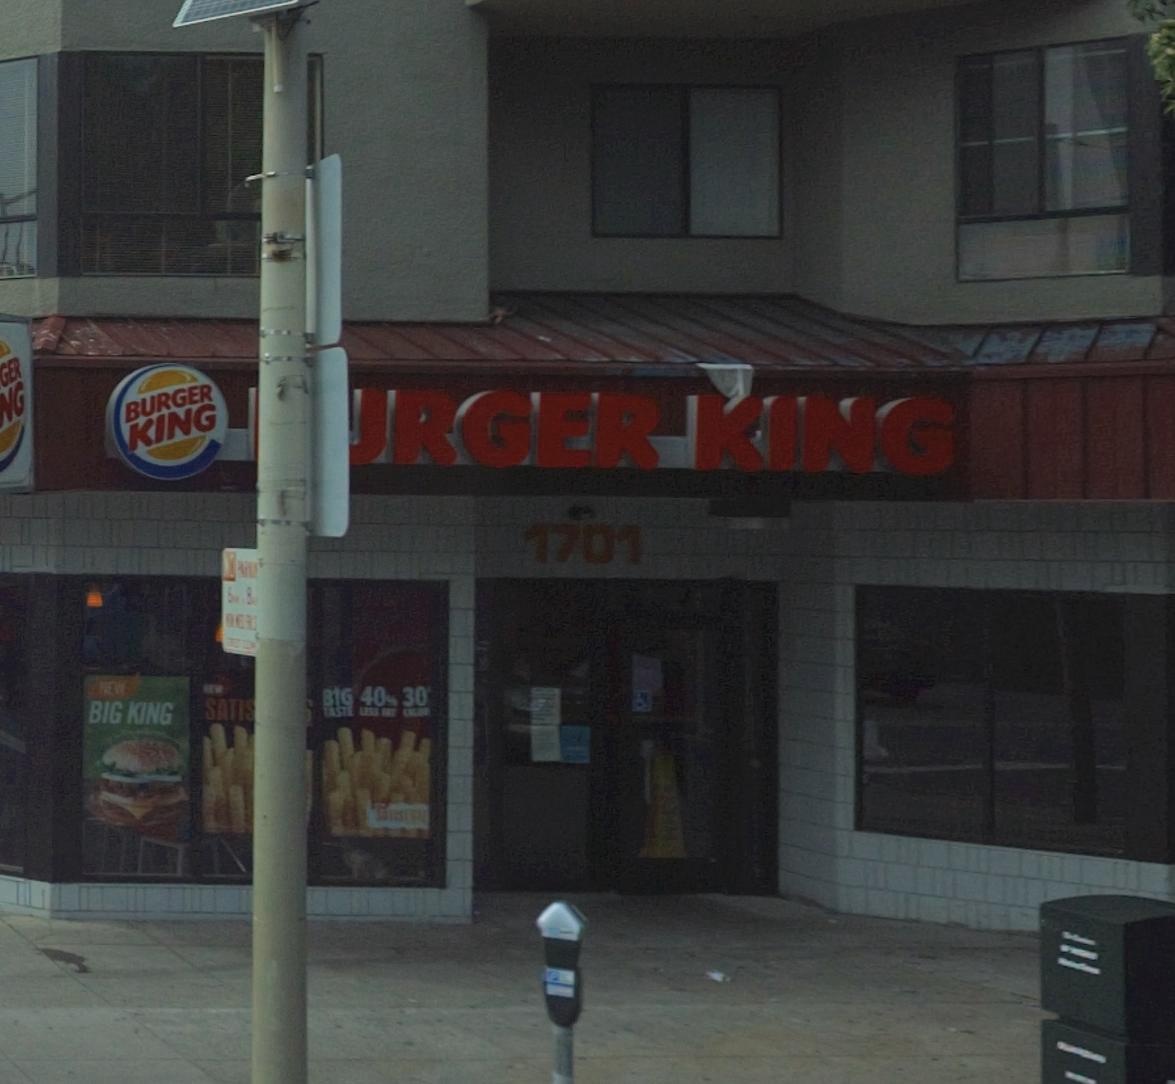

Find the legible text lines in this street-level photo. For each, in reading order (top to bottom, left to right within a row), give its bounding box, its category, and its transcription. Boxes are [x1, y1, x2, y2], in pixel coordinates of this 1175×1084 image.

[0, 351, 25, 391] BusinessName: GER
[0, 377, 28, 435] BusinessName: NG
[123, 380, 217, 427] BusinessName: BURGER
[127, 401, 219, 456] BusinessName: KING
[388, 385, 960, 477] BusinessName: RGER KING
[521, 521, 644, 567] StreetNumber: 1701
[224, 583, 238, 607] None: 6
[243, 584, 254, 608] None: 8
[96, 678, 129, 698] None: NEW
[85, 698, 177, 728] None: BIG KING
[202, 695, 246, 724] None: SATI
[321, 685, 355, 709] None: BIG
[319, 703, 357, 721] None: TASTE
[358, 683, 389, 709] None: 40
[399, 683, 431, 711] None: 30